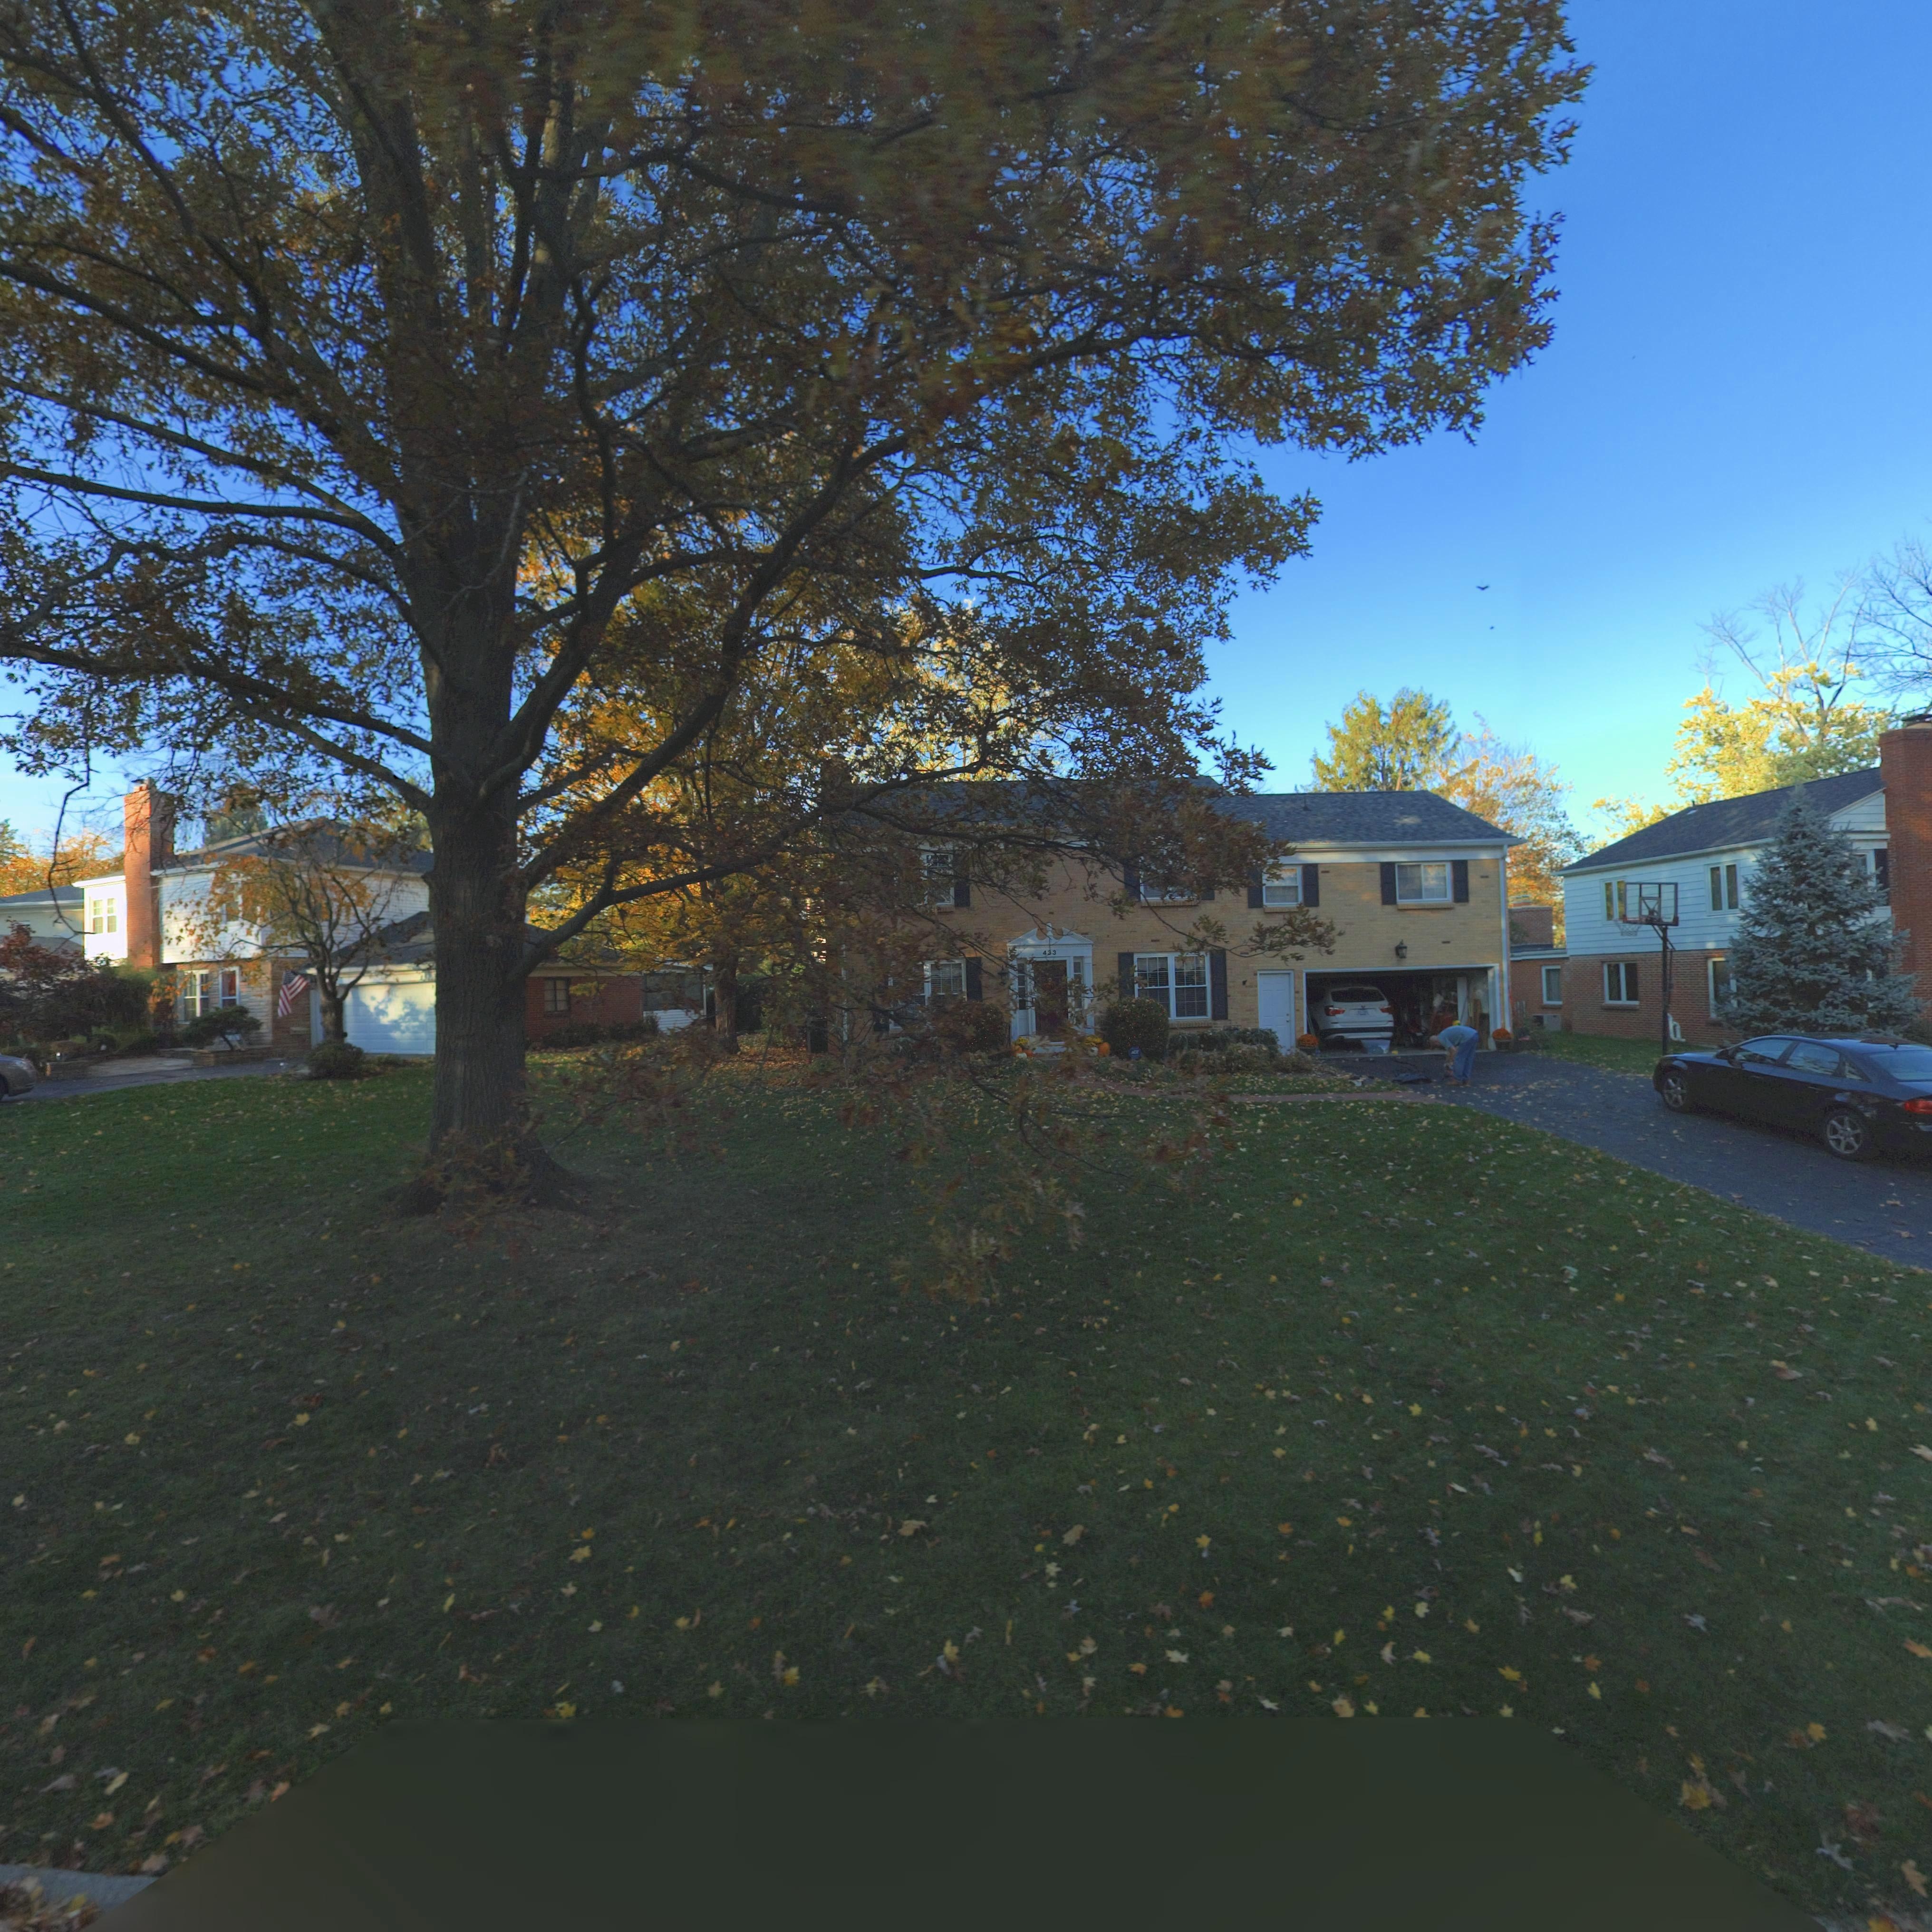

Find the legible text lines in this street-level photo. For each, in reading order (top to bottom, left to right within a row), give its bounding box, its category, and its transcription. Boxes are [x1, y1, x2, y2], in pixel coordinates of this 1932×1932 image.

[1042, 949, 1057, 956] StreetNumber: 433